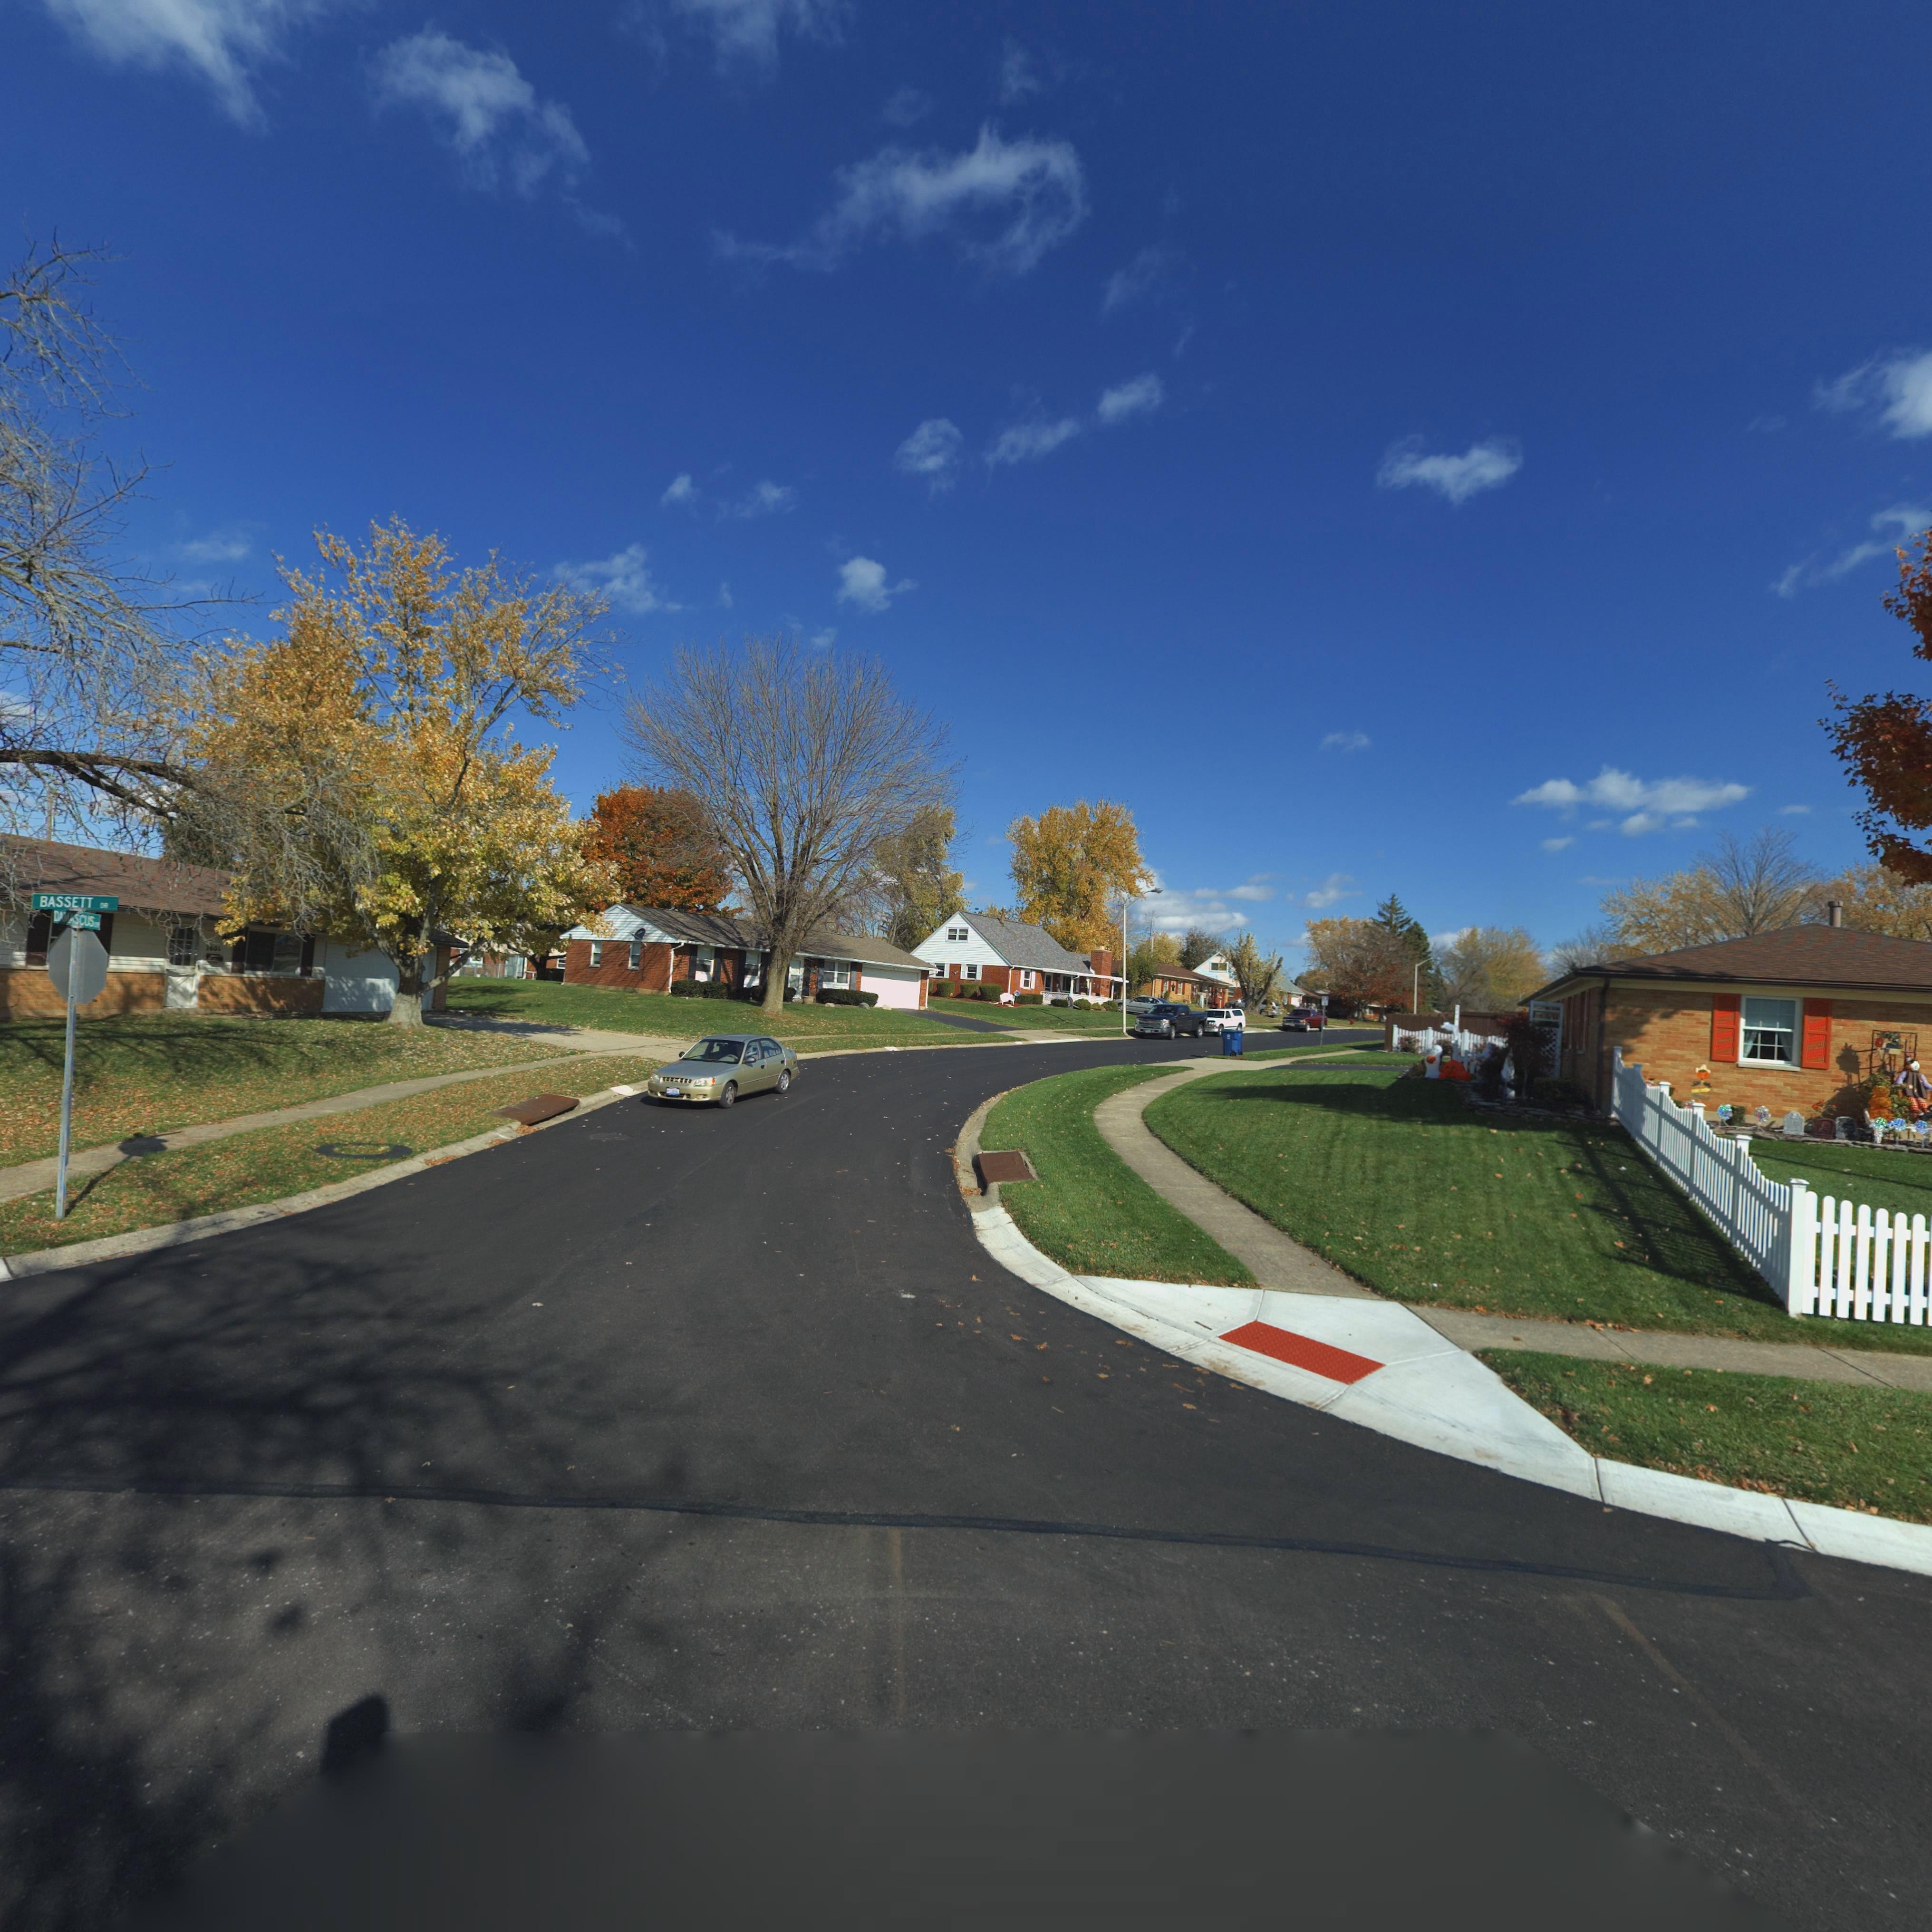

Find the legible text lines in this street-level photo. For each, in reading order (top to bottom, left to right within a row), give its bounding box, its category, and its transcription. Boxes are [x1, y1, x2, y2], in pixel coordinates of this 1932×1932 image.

[39, 895, 95, 909] StreetName: BASSETT
[52, 909, 96, 928] StreetName: DAMASCUS
[205, 944, 222, 952] StreetNumber: 7601